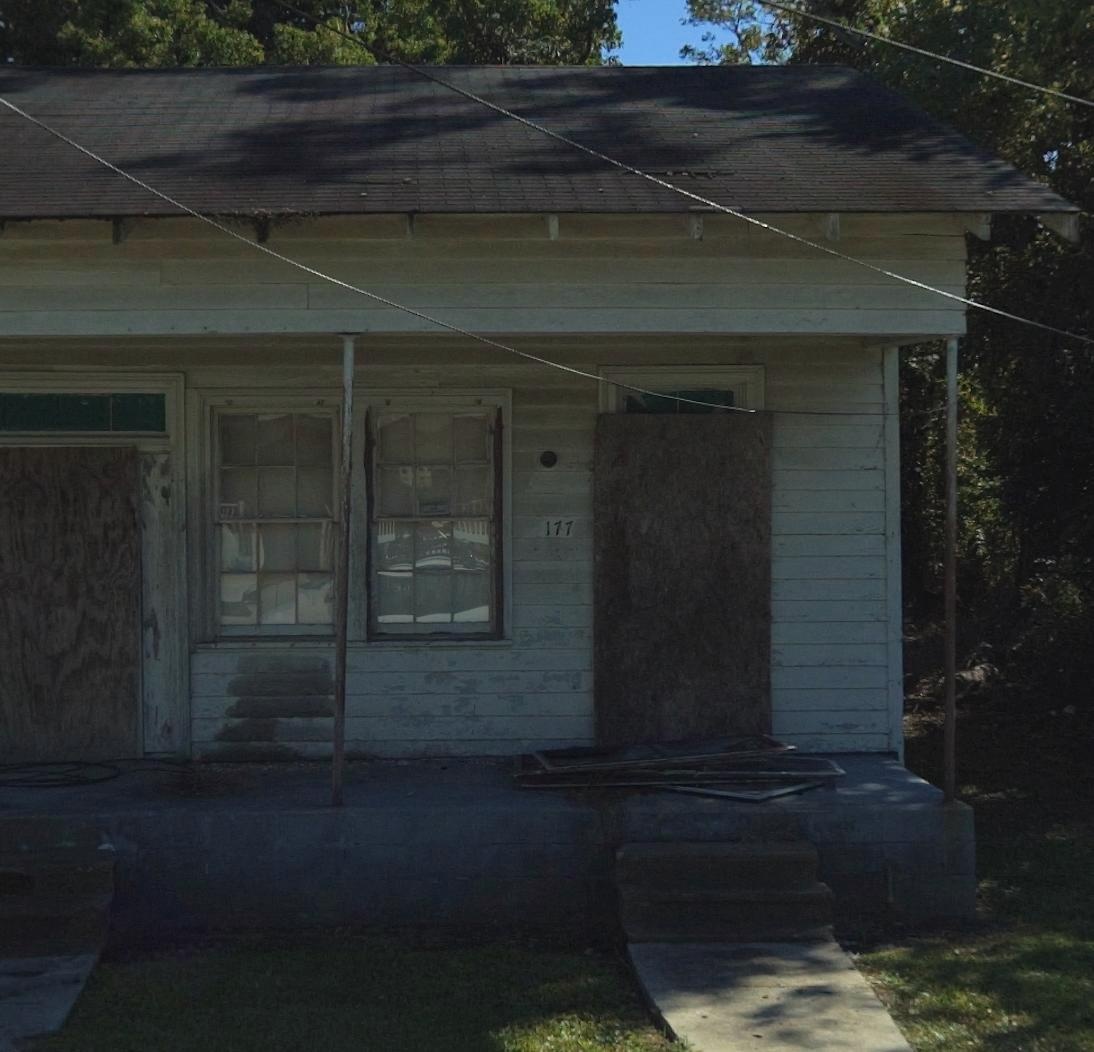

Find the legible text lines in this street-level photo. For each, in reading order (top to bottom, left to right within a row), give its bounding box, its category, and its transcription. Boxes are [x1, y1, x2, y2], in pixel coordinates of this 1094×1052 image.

[543, 519, 577, 538] StreetNumber: 177